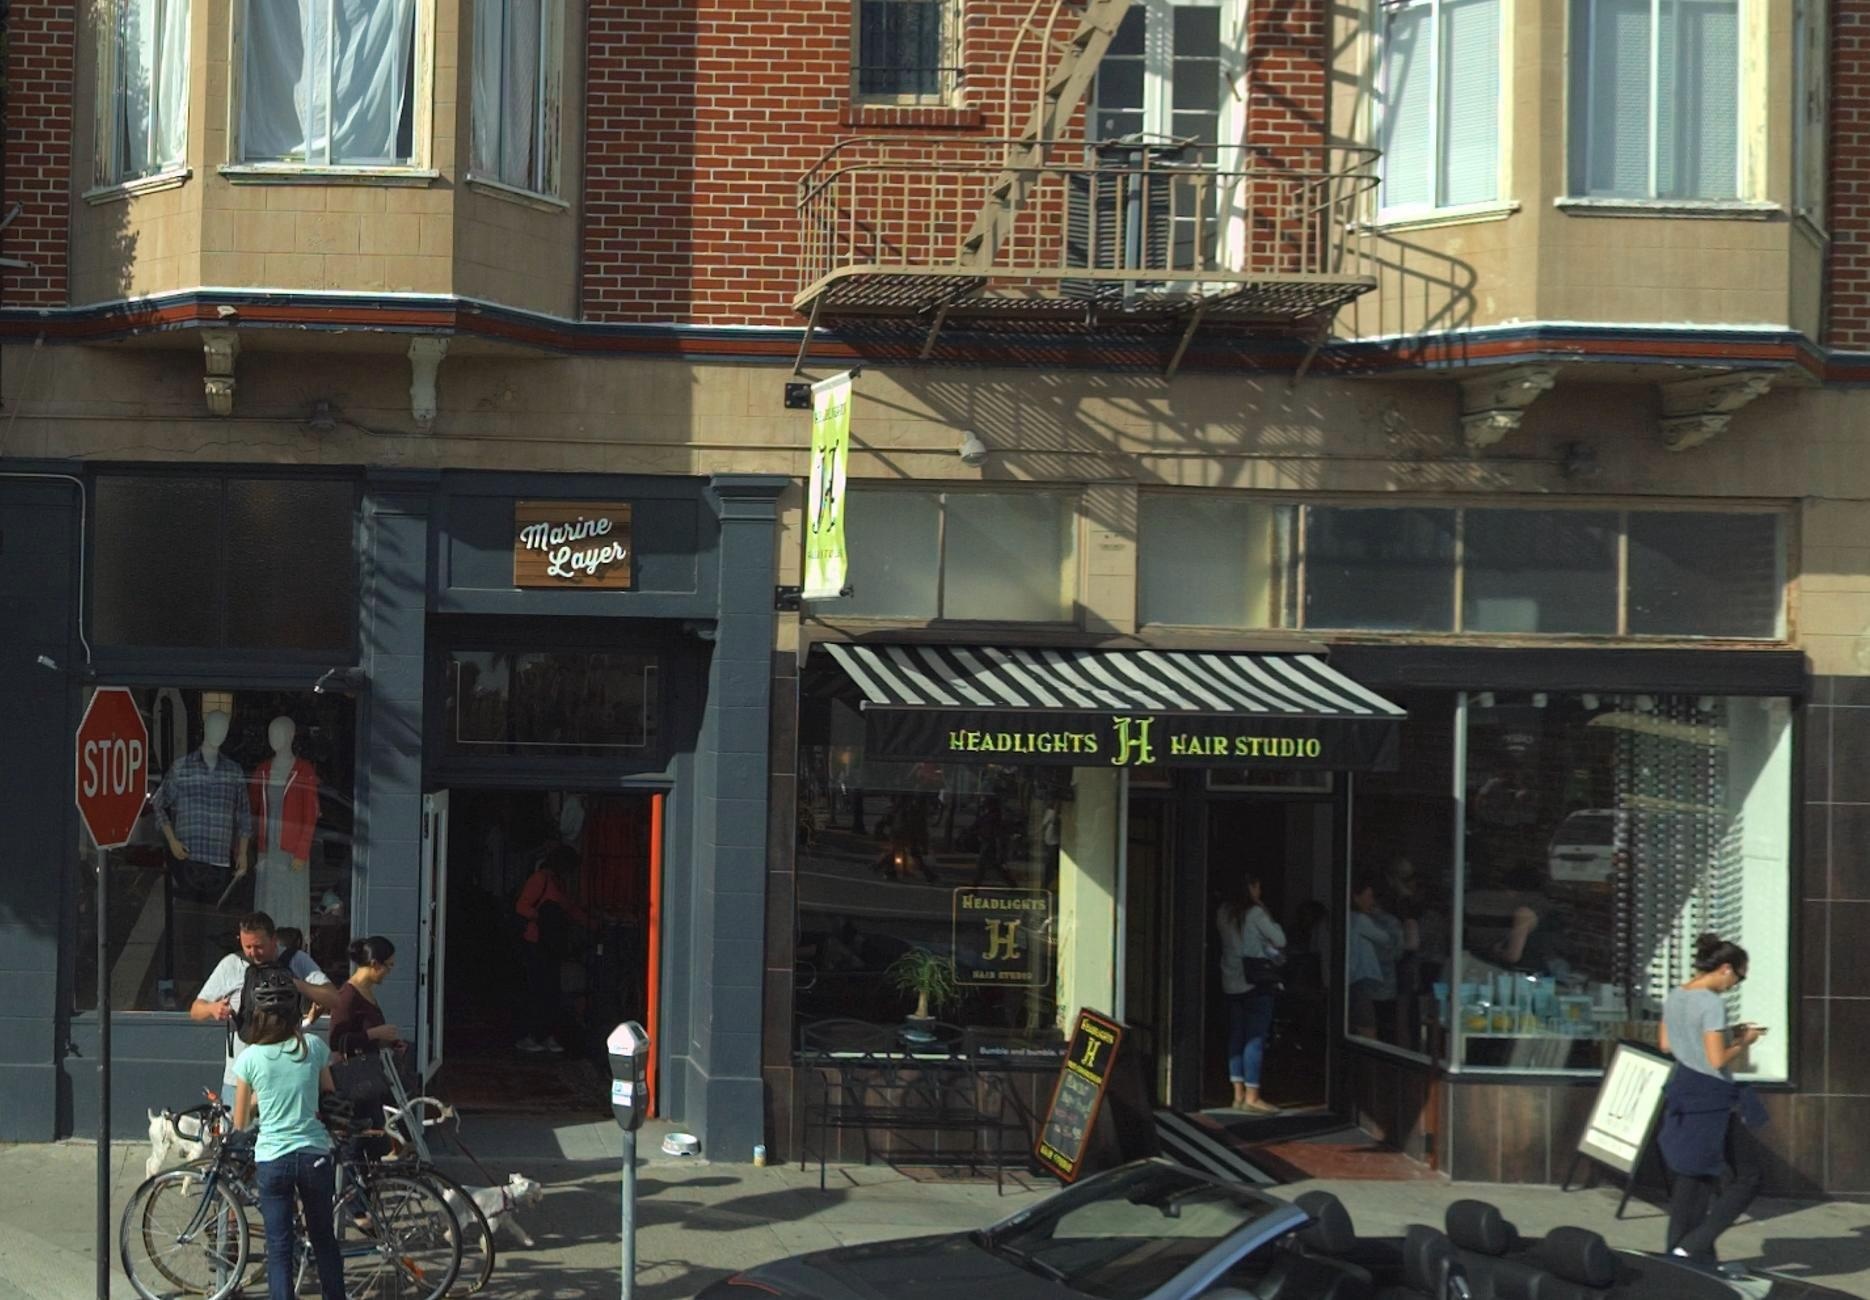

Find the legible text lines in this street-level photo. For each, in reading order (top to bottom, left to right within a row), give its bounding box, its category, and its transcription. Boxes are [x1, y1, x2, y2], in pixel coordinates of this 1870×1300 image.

[811, 433, 842, 540] None: H
[524, 513, 616, 553] BusinessName: Marine
[546, 537, 631, 582] BusinessName: Layer
[80, 735, 146, 803] None: STOP
[947, 726, 1100, 756] BusinessName: HEADLIGHTS
[1111, 713, 1160, 769] None: H
[1168, 732, 1324, 761] BusinessName: HAIR STUDIO
[960, 892, 1049, 913] BusinessName: HEADLIGHTS
[980, 915, 1025, 964] None: H
[1076, 1031, 1105, 1070] None: H
[1599, 1052, 1663, 1129] BusinessName: LUX